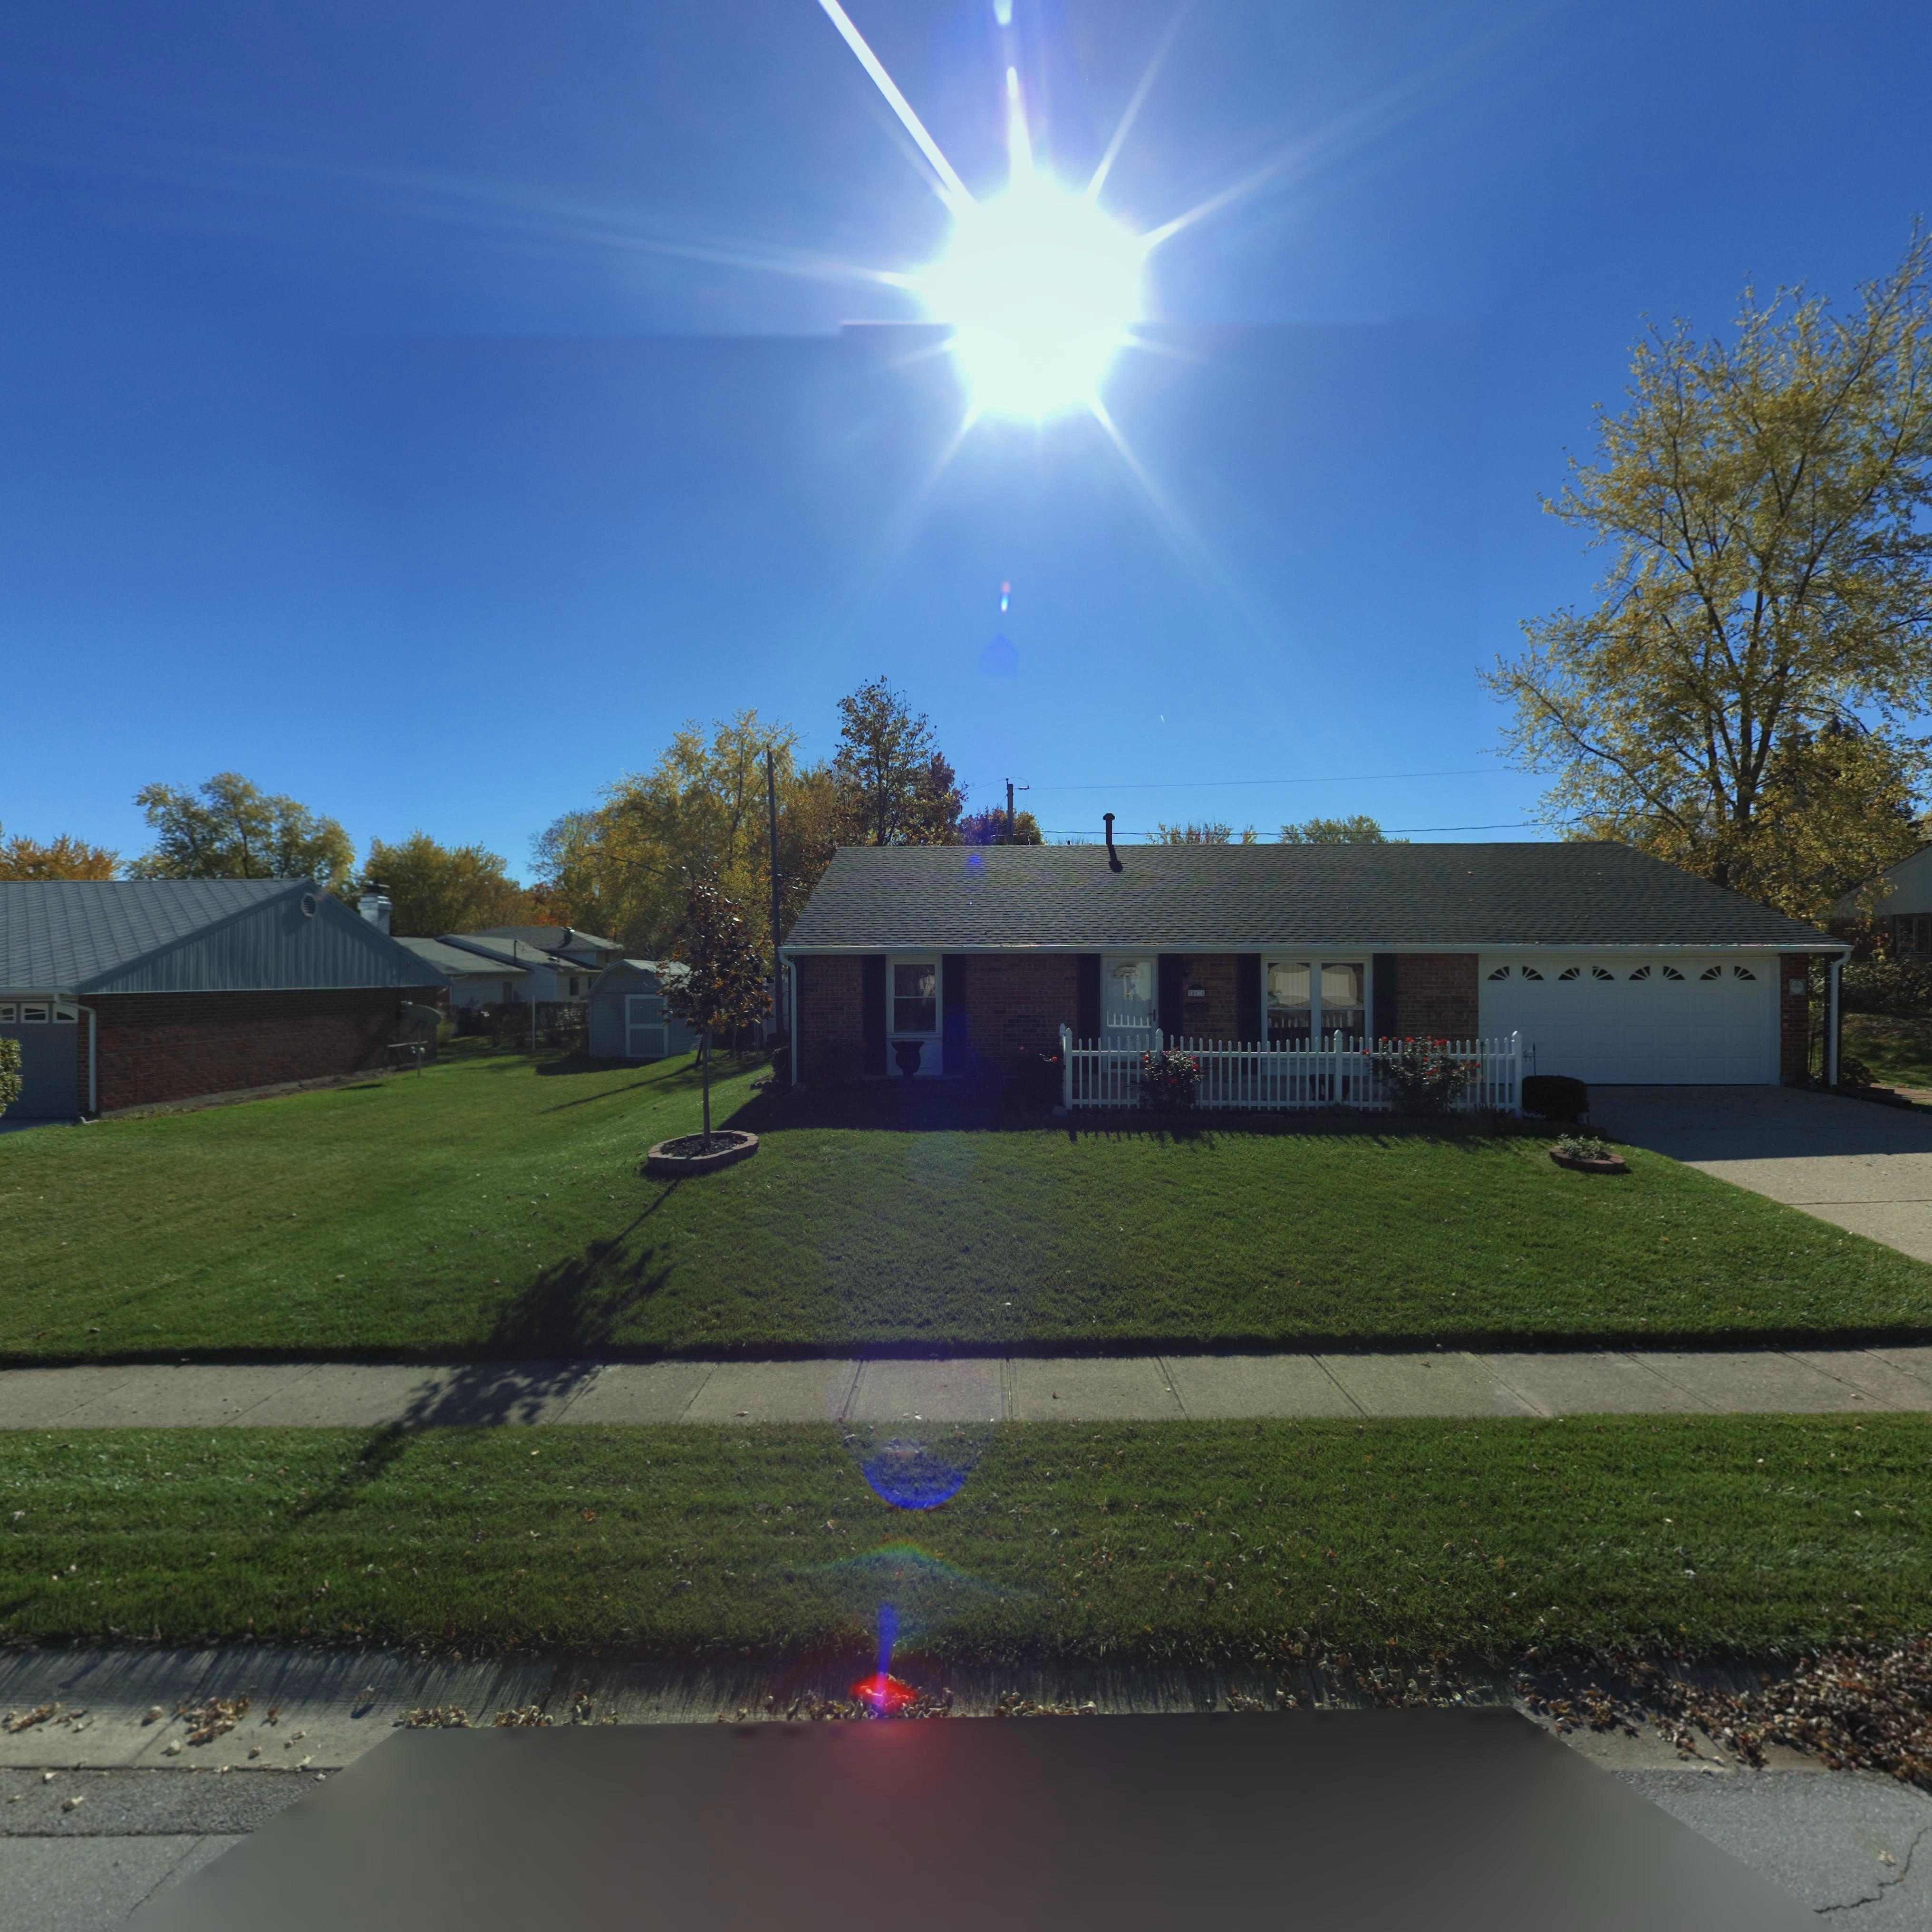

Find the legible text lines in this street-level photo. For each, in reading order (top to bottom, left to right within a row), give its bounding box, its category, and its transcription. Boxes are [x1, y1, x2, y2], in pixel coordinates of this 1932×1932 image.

[1191, 990, 1201, 996] StreetNumber: 813